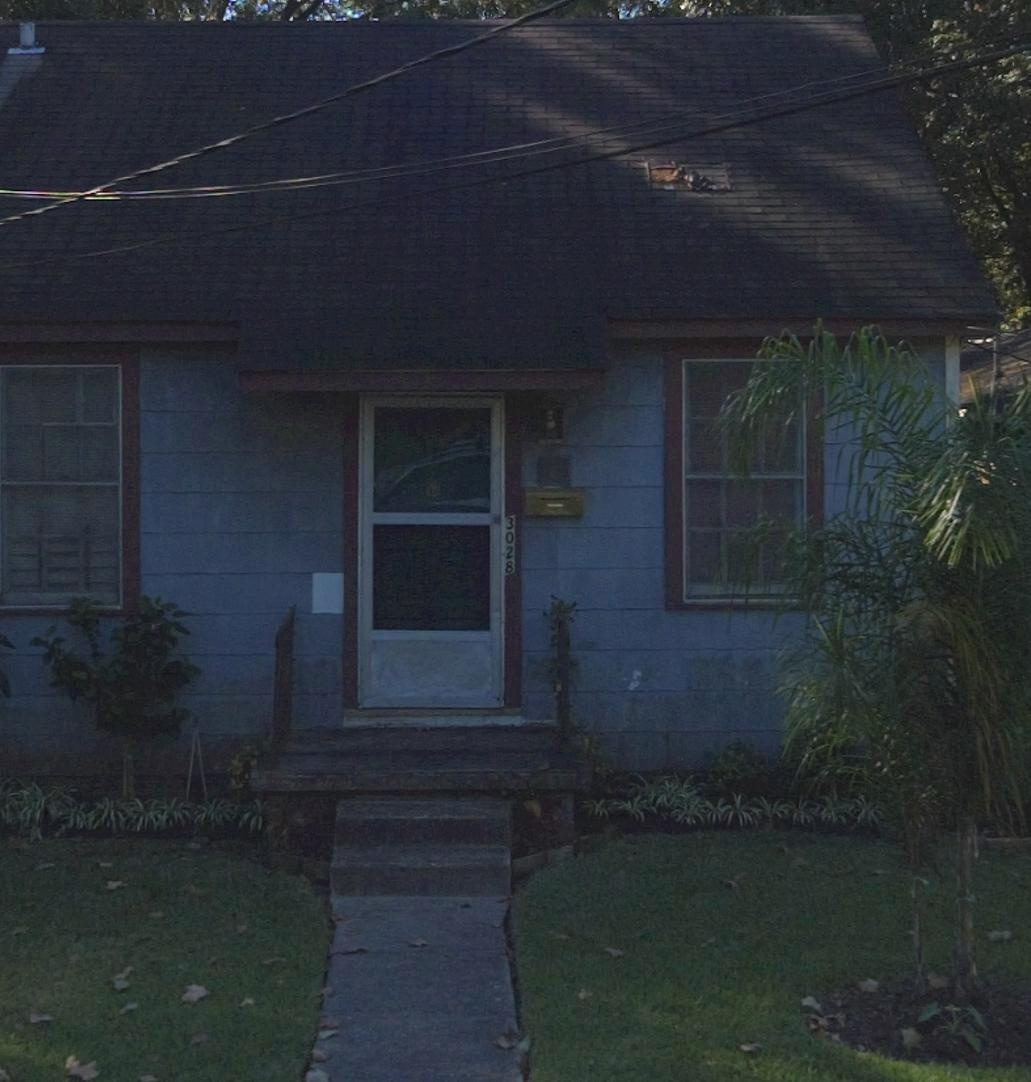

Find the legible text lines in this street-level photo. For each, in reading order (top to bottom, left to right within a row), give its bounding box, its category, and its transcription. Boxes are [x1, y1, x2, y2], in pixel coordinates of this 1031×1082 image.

[503, 515, 516, 575] StreetNumber: 3028